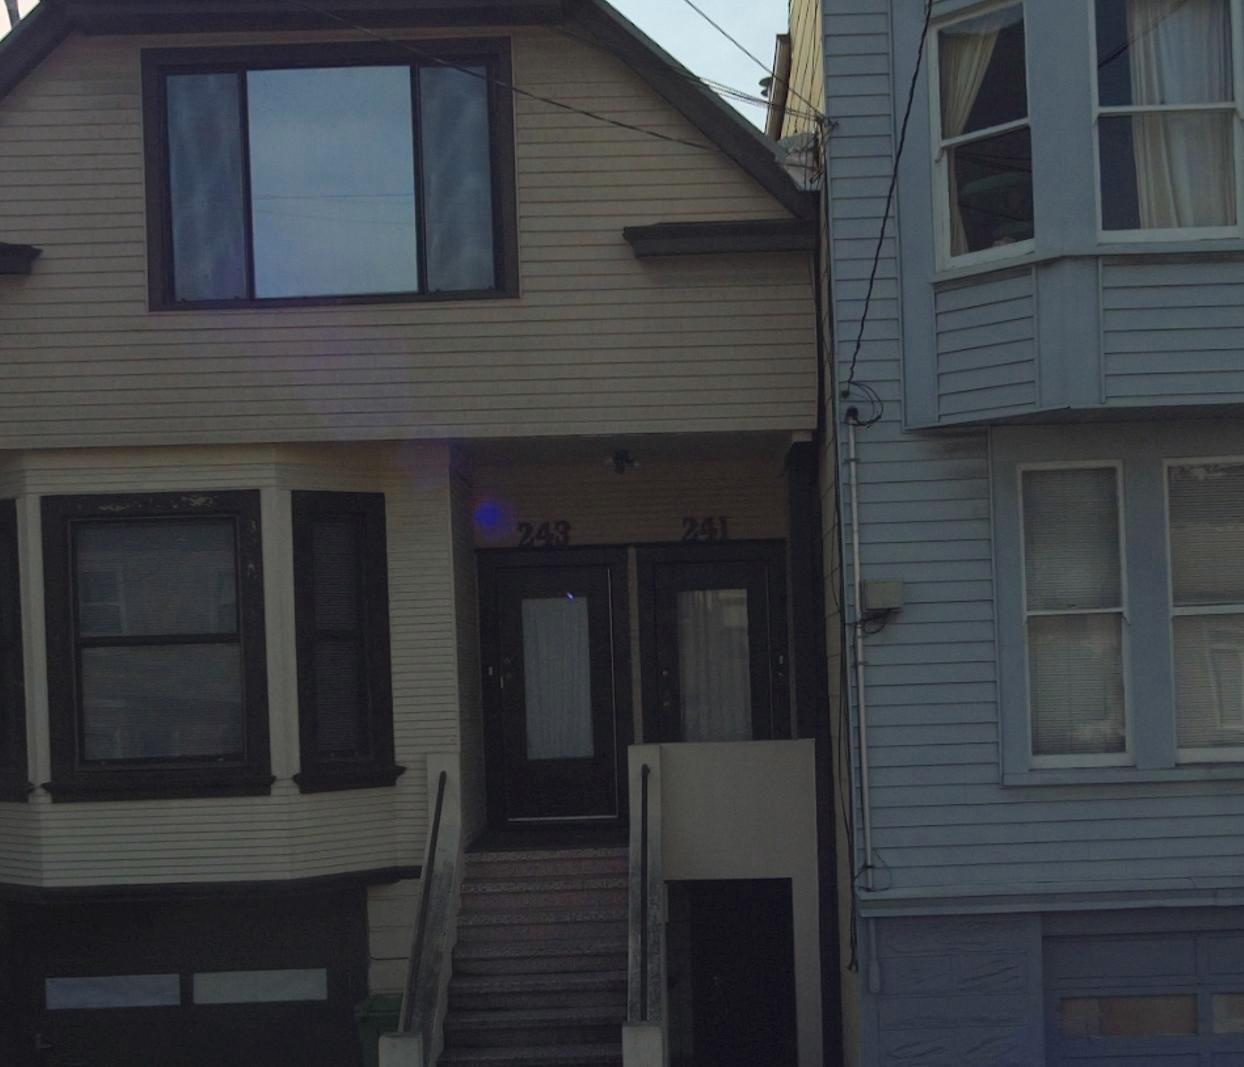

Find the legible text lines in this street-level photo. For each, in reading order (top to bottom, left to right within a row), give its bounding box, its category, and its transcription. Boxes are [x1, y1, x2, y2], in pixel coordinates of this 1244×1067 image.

[515, 518, 573, 549] StreetNumber: 243
[679, 515, 731, 543] StreetNumber: 241